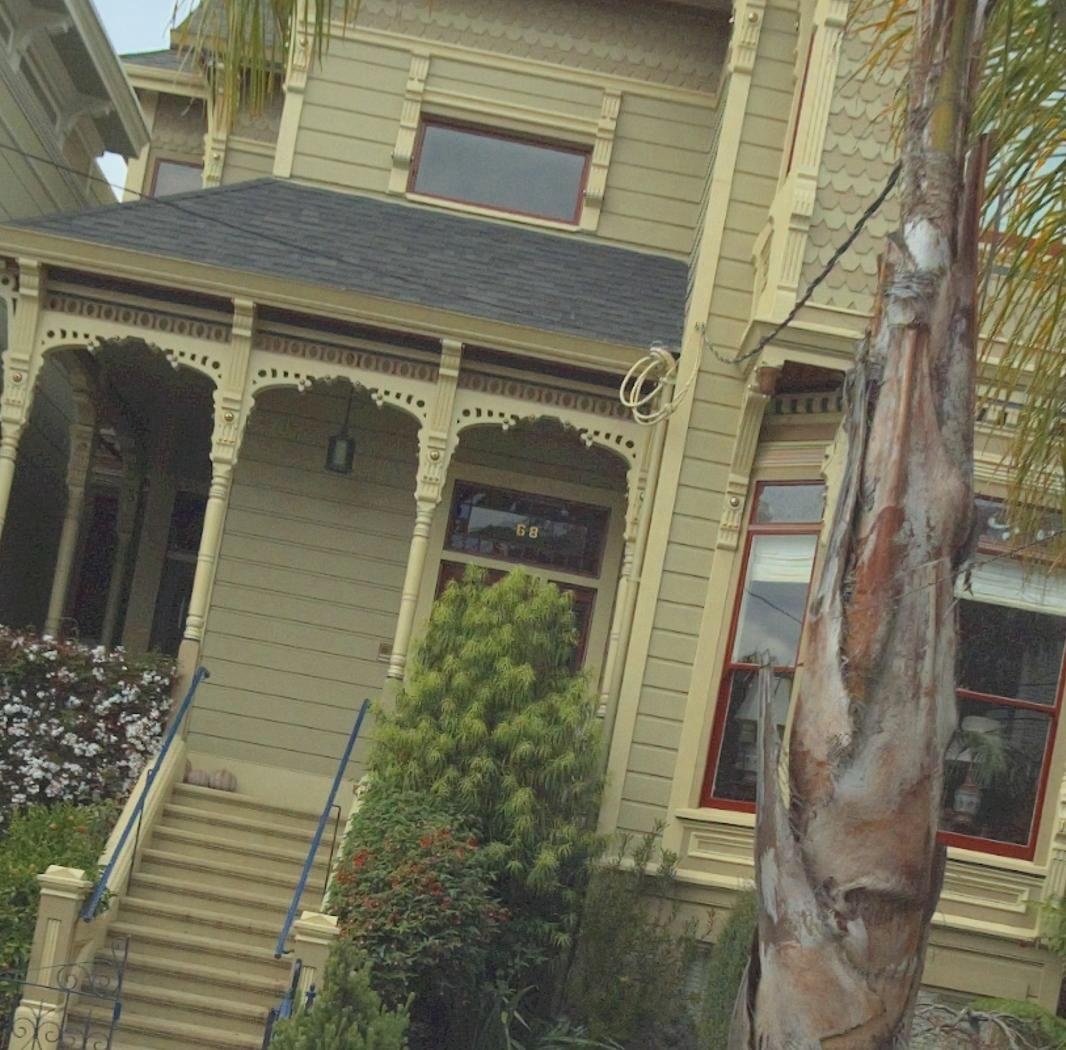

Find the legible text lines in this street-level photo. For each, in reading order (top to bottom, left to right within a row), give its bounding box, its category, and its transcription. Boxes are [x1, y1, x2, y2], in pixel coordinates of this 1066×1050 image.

[514, 522, 540, 540] StreetNumber: 68